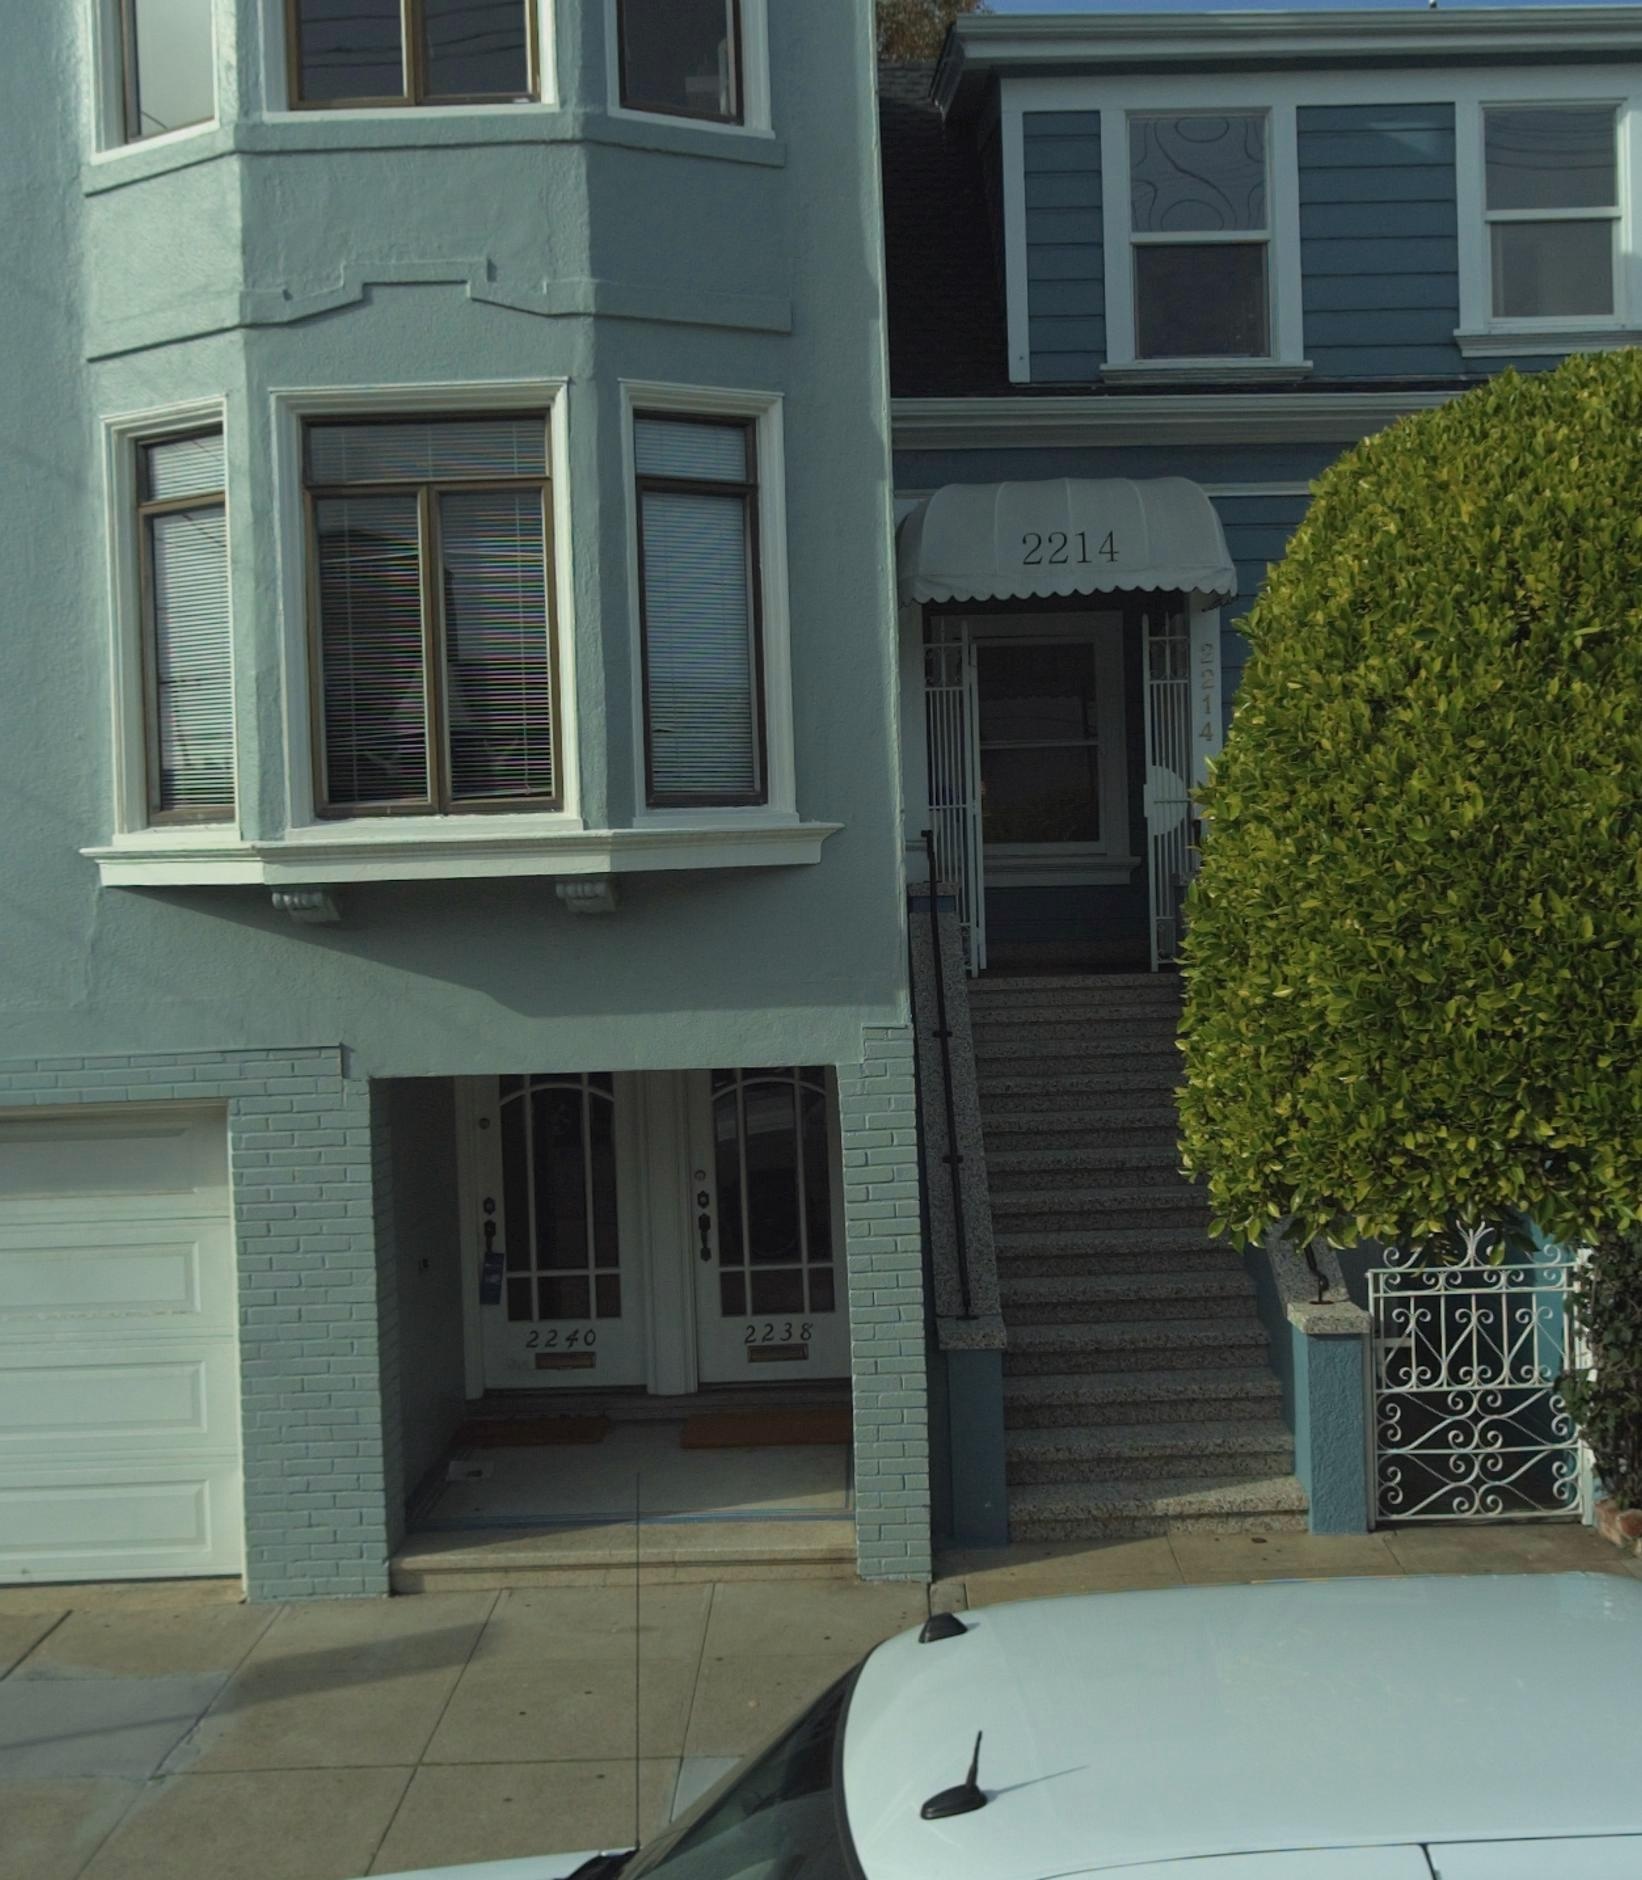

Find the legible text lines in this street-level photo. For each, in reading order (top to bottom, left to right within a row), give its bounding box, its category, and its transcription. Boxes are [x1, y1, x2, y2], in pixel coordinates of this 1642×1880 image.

[1019, 528, 1121, 567] StreetNumber: 2214
[1196, 641, 1217, 745] StreetNumber: 2214
[522, 1326, 598, 1352] StreetNumber: 2240
[742, 1319, 816, 1346] StreetNumber: 2238